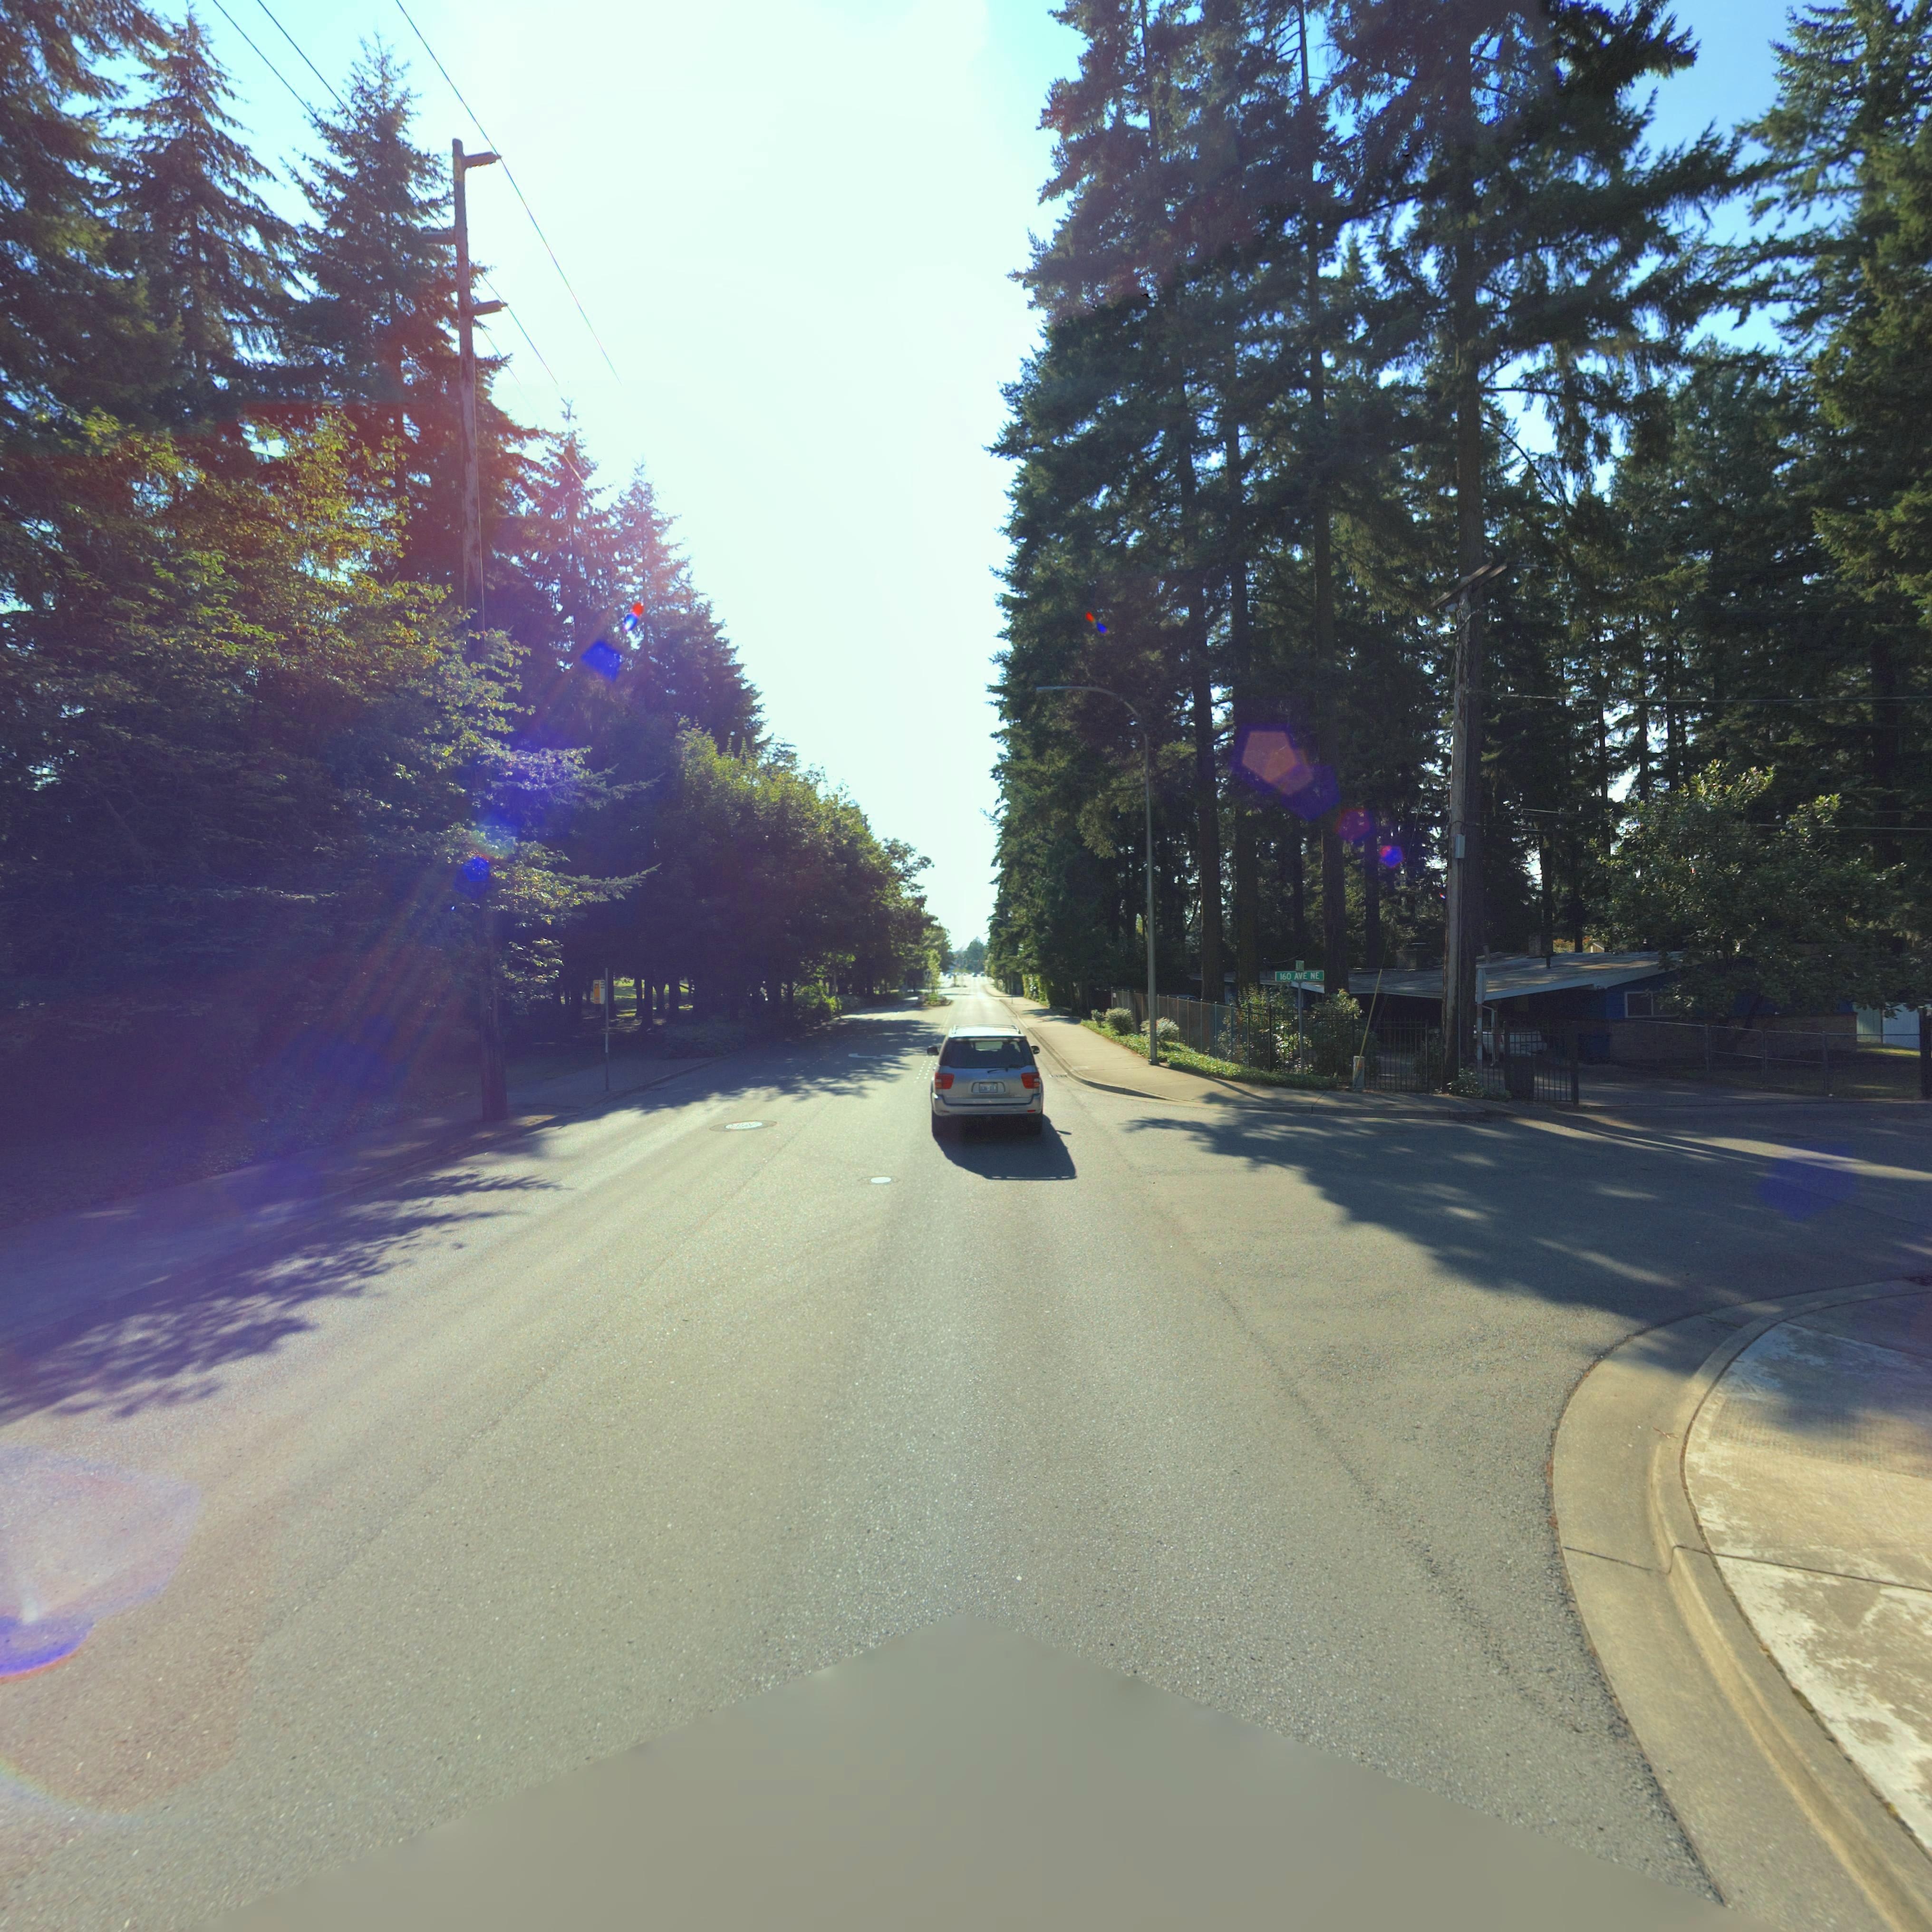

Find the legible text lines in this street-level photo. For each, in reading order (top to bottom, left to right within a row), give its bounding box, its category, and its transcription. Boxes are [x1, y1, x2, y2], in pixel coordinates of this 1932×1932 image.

[1279, 972, 1319, 980] StreetName: 160 AVE NE